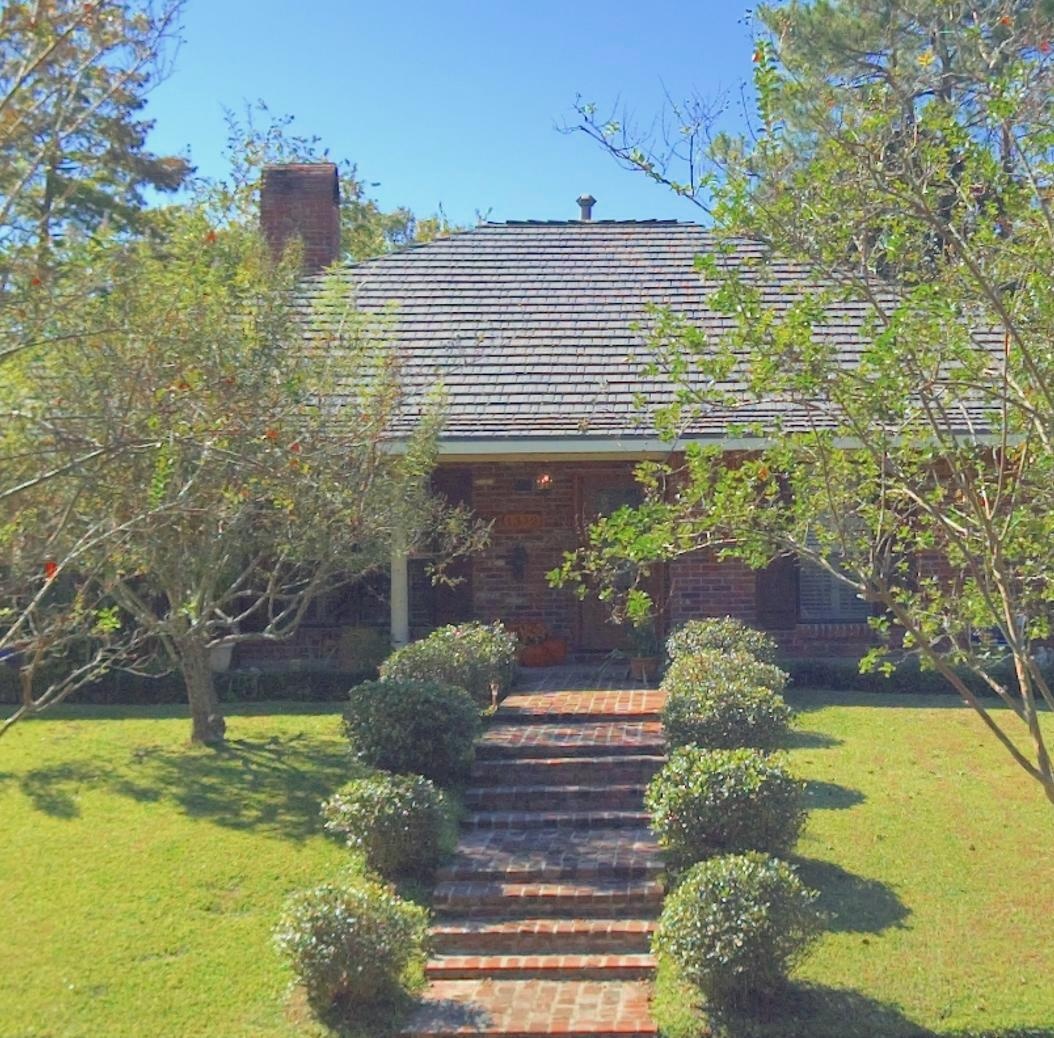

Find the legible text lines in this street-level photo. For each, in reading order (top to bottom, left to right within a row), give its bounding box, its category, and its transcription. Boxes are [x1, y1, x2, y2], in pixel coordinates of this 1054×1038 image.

[506, 514, 539, 529] StreetNumber: 1370